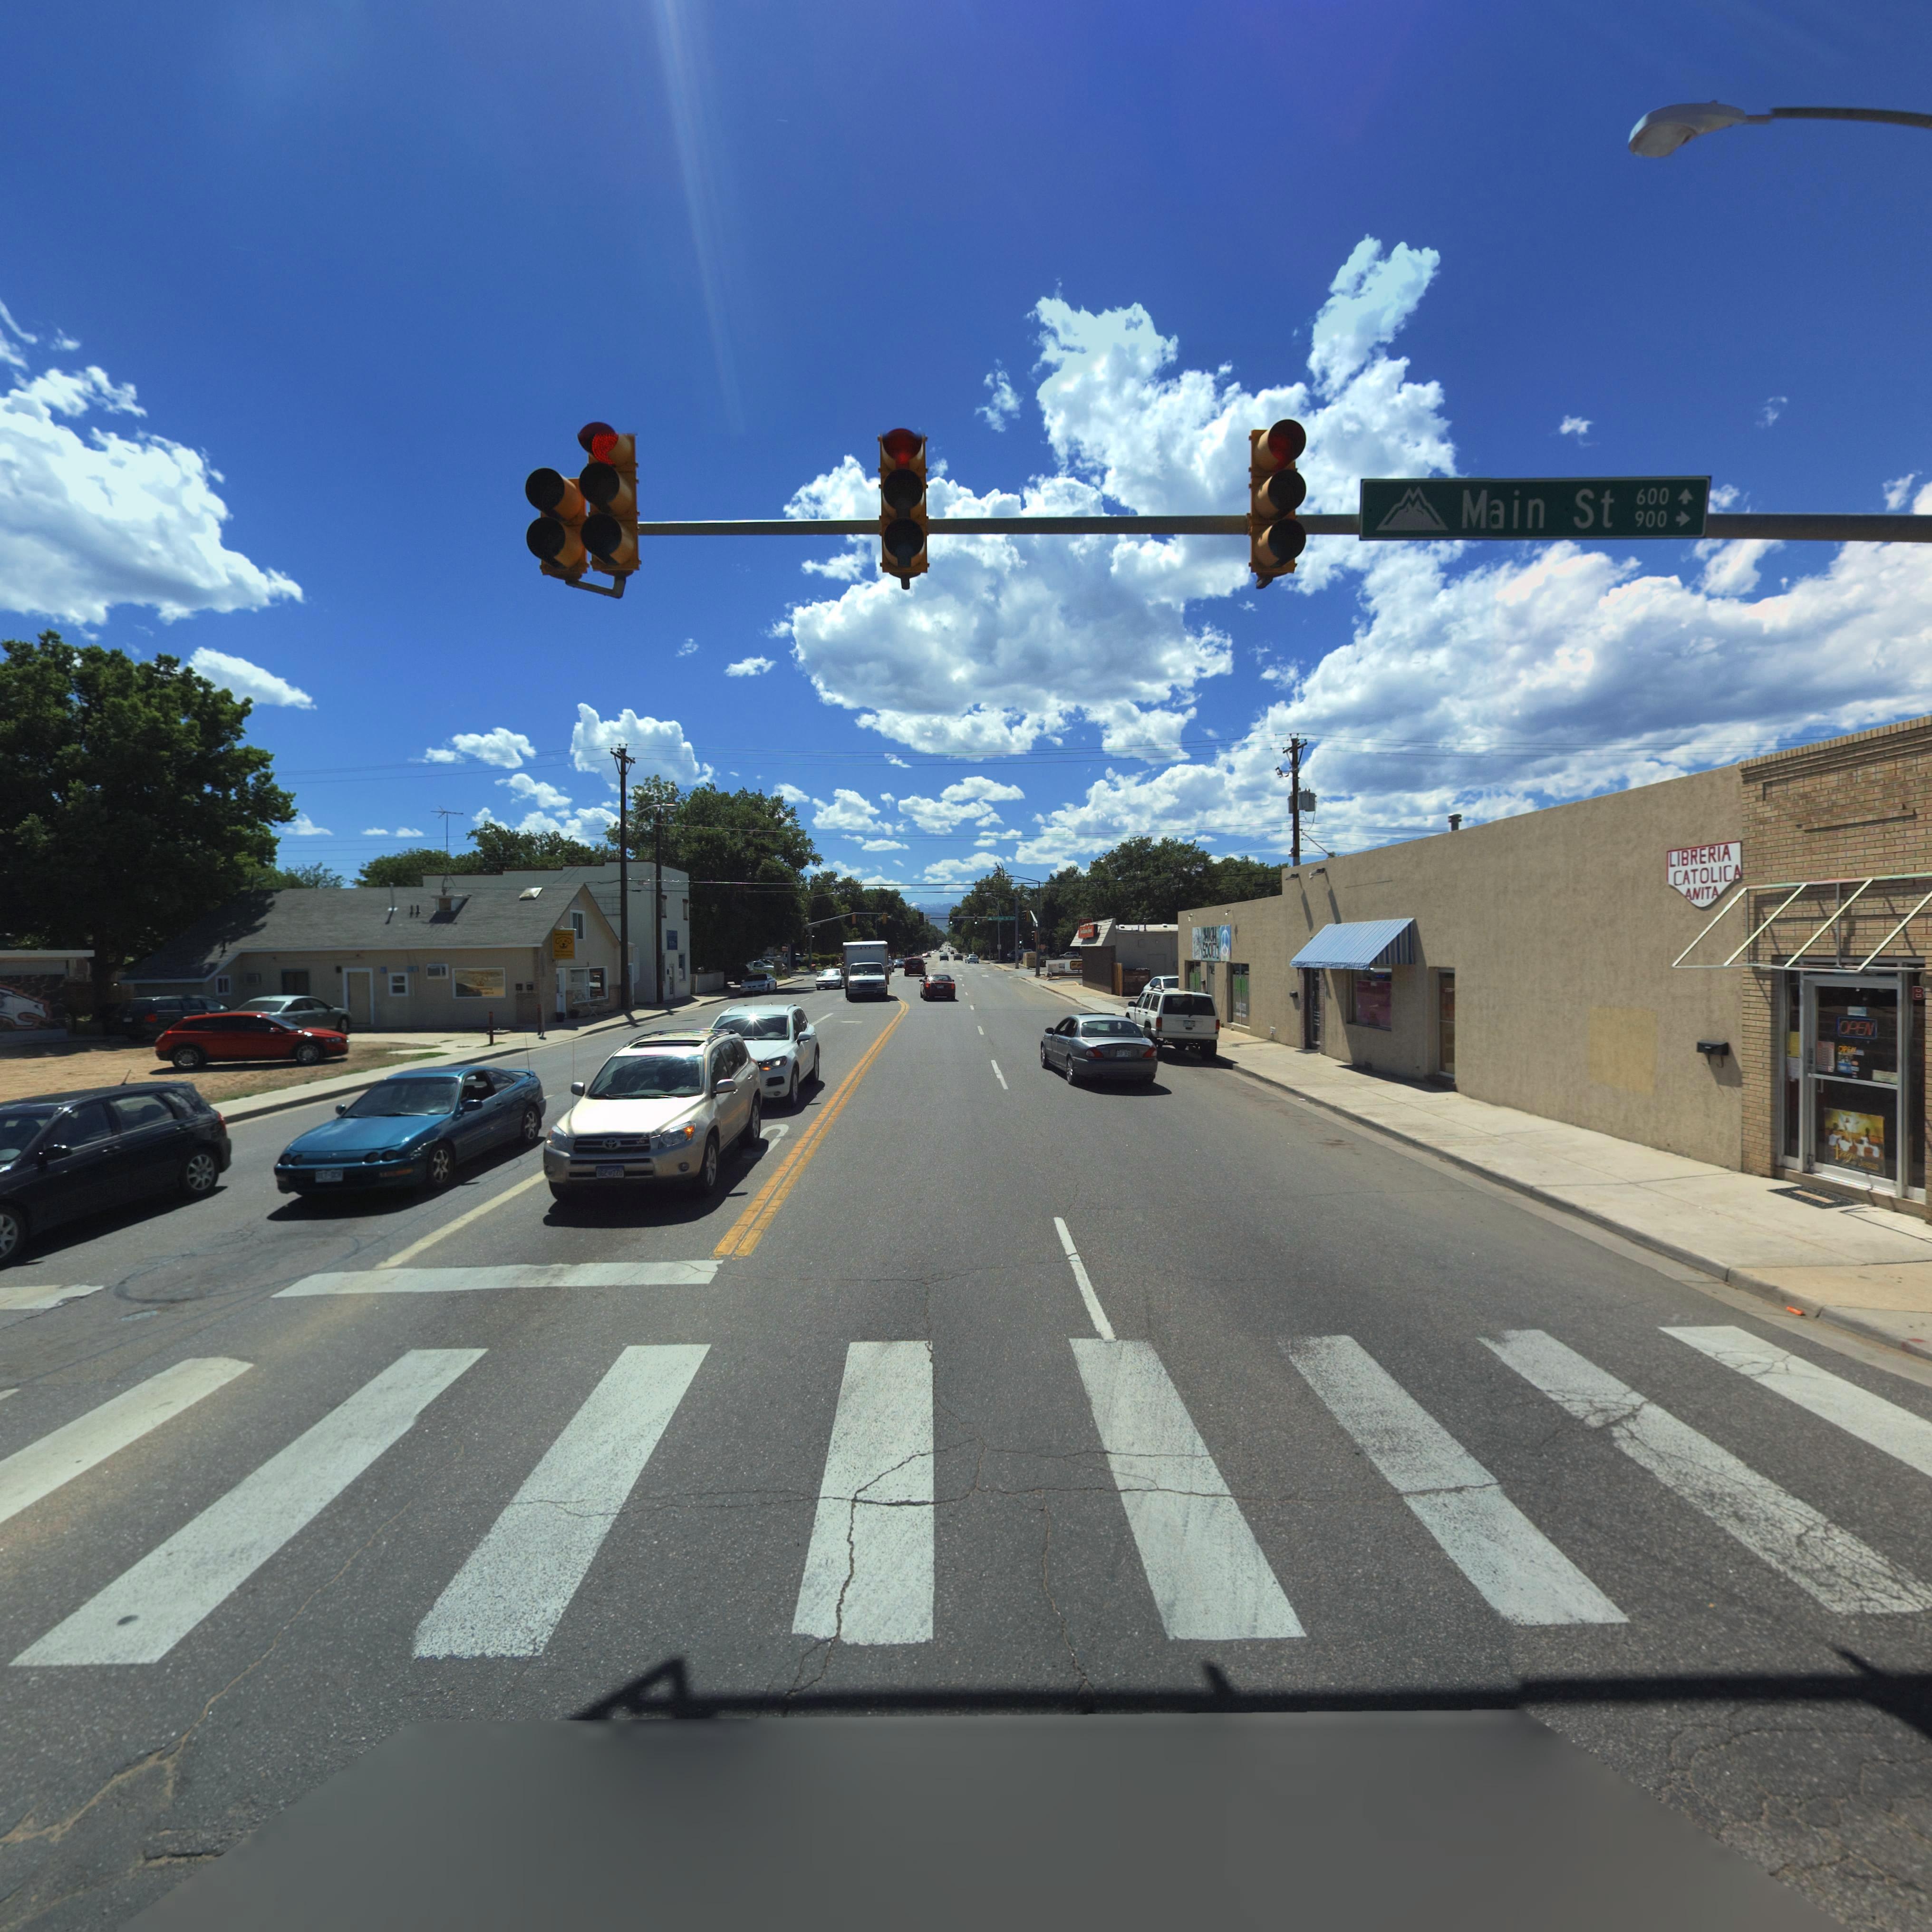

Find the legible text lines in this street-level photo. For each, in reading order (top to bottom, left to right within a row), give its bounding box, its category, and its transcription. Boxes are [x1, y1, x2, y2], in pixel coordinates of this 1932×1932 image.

[1635, 487, 1669, 505] StreetNumberRange: 600
[1460, 487, 1615, 530] BusinessName: Main St
[1633, 510, 1692, 528] StreetNumberRange: 900->
[1669, 843, 1732, 868] BusinessName: LIBRERIA
[1673, 864, 1741, 886] BusinessName: CATOLICA
[1684, 885, 1719, 900] BusinessName: ANITA
[1203, 926, 1217, 943] BusinessName: HI*H
[1202, 942, 1219, 959] BusinessName: SOC*ETY